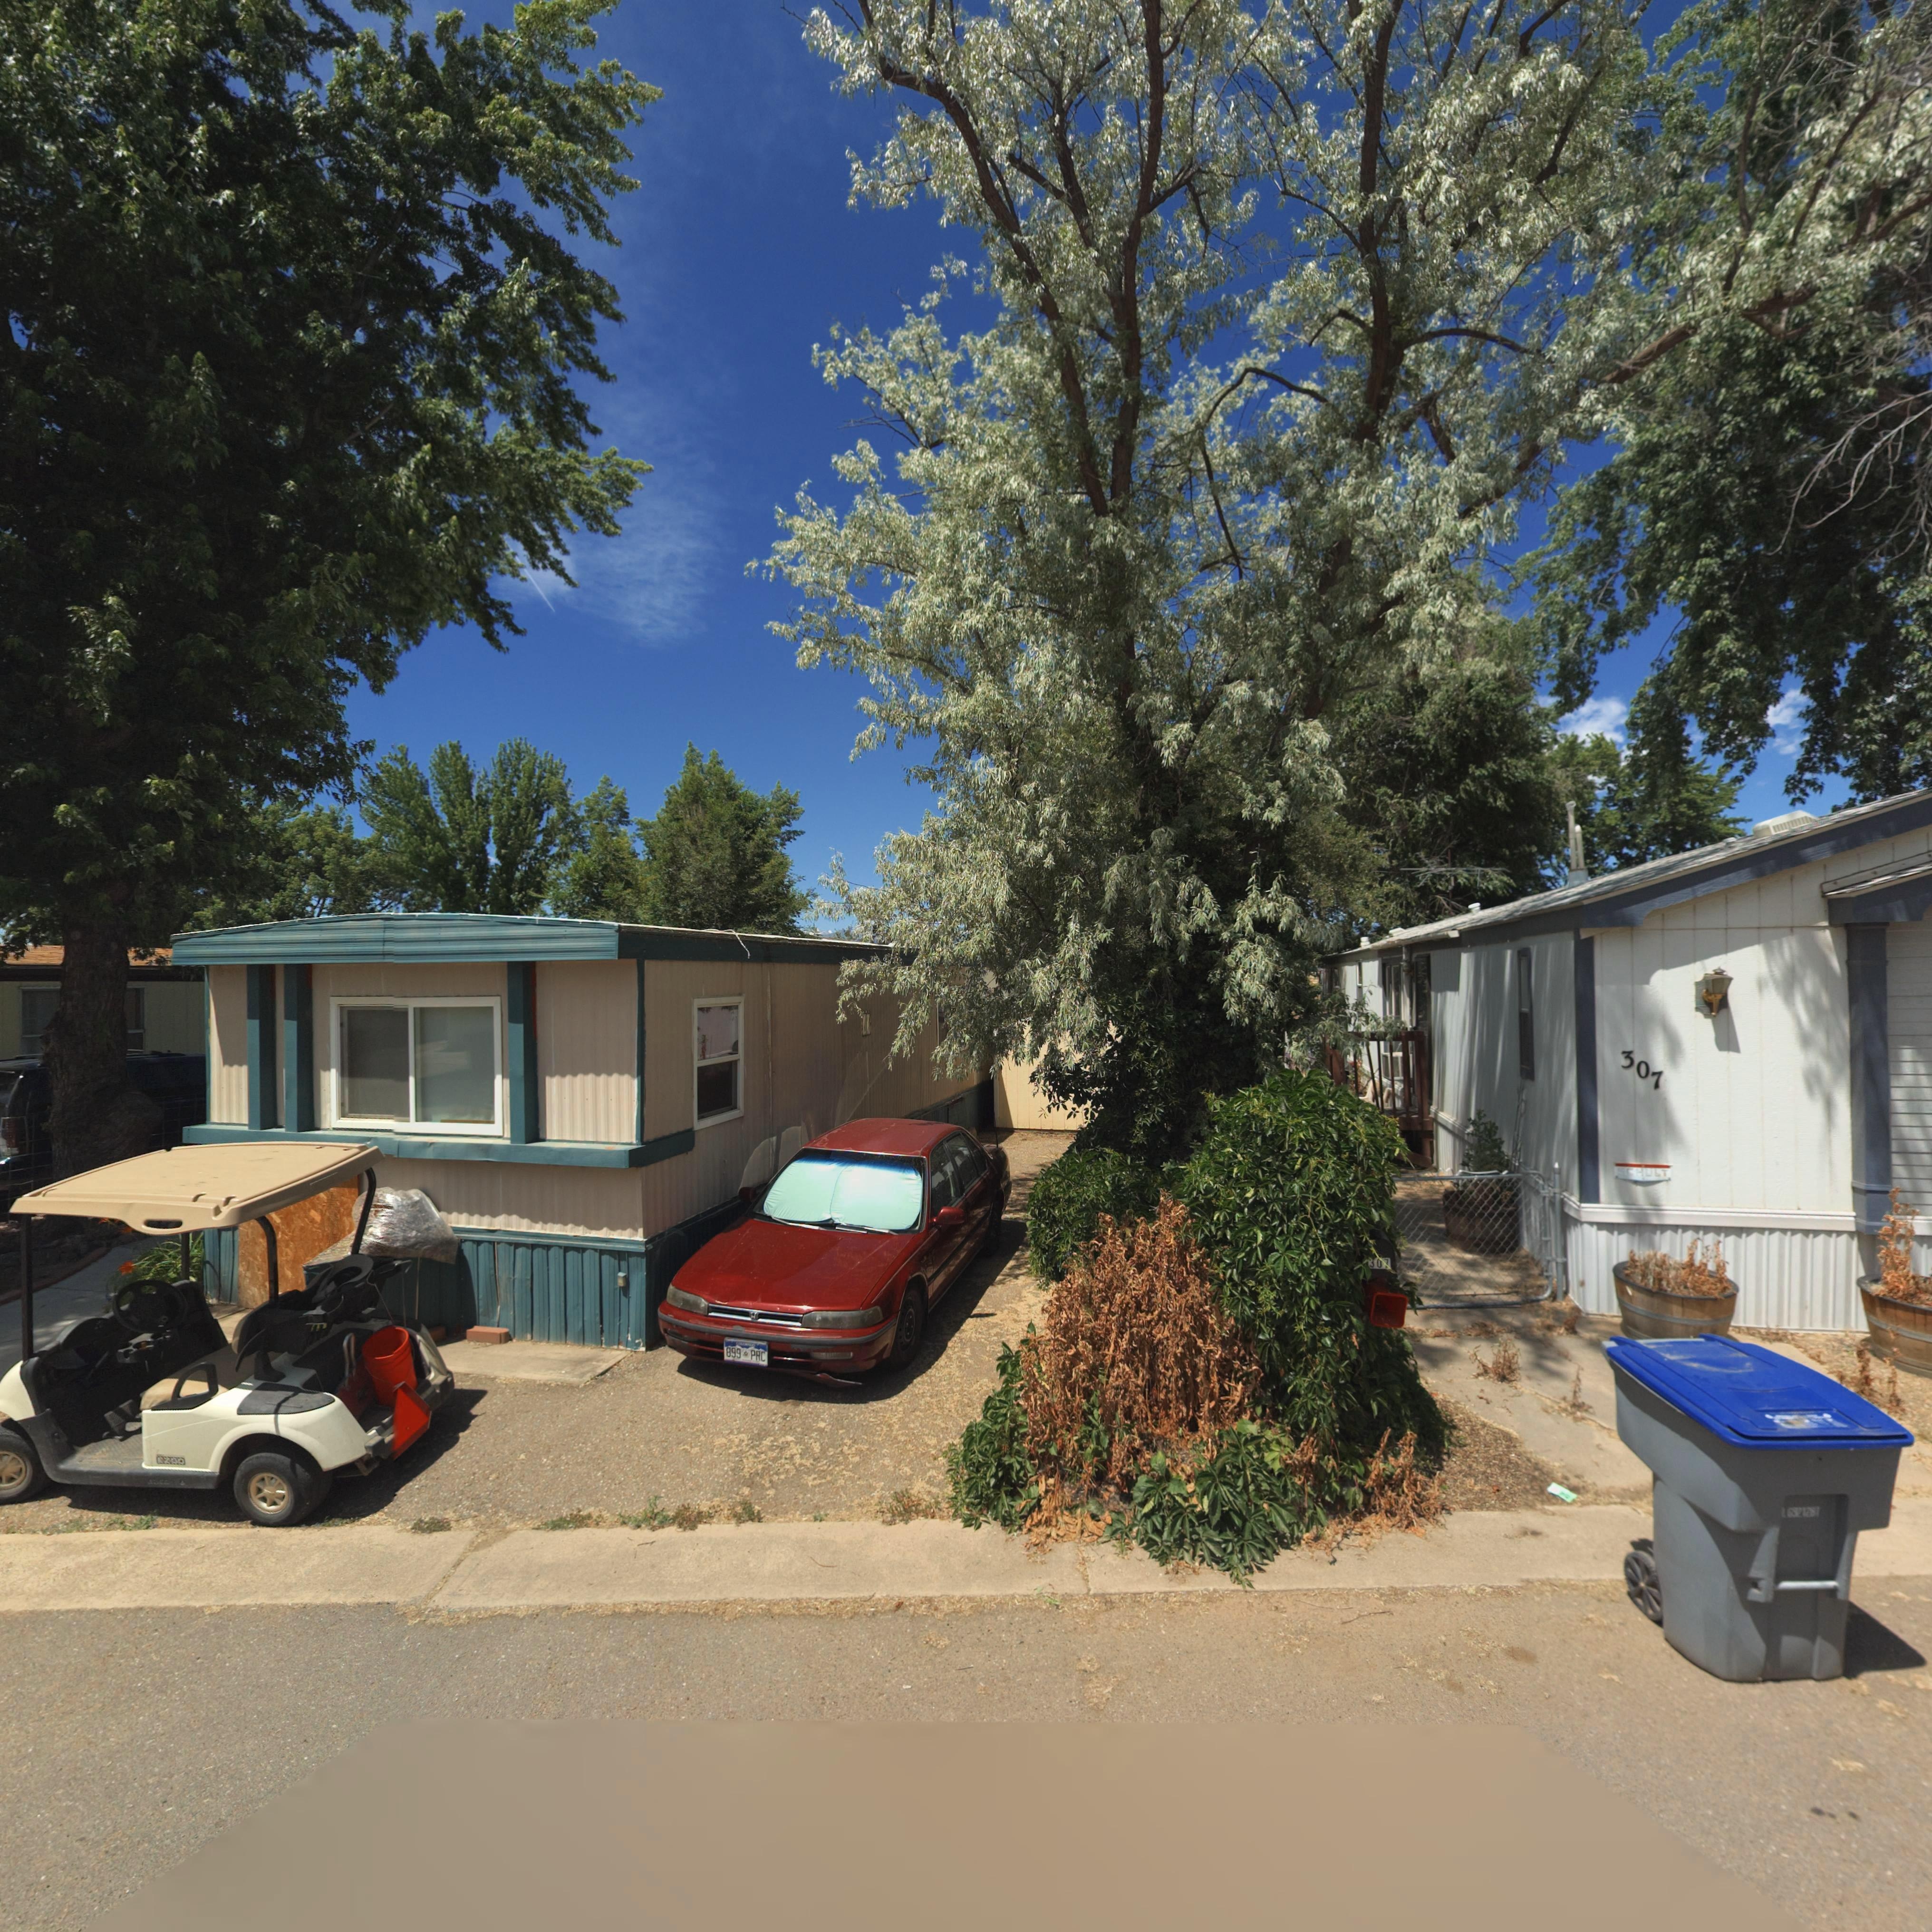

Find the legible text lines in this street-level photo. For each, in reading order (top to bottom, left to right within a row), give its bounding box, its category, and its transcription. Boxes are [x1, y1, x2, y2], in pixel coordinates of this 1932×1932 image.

[1620, 1049, 1664, 1092] StreetNumber: 307
[1367, 1256, 1391, 1269] StreetNumber: 307